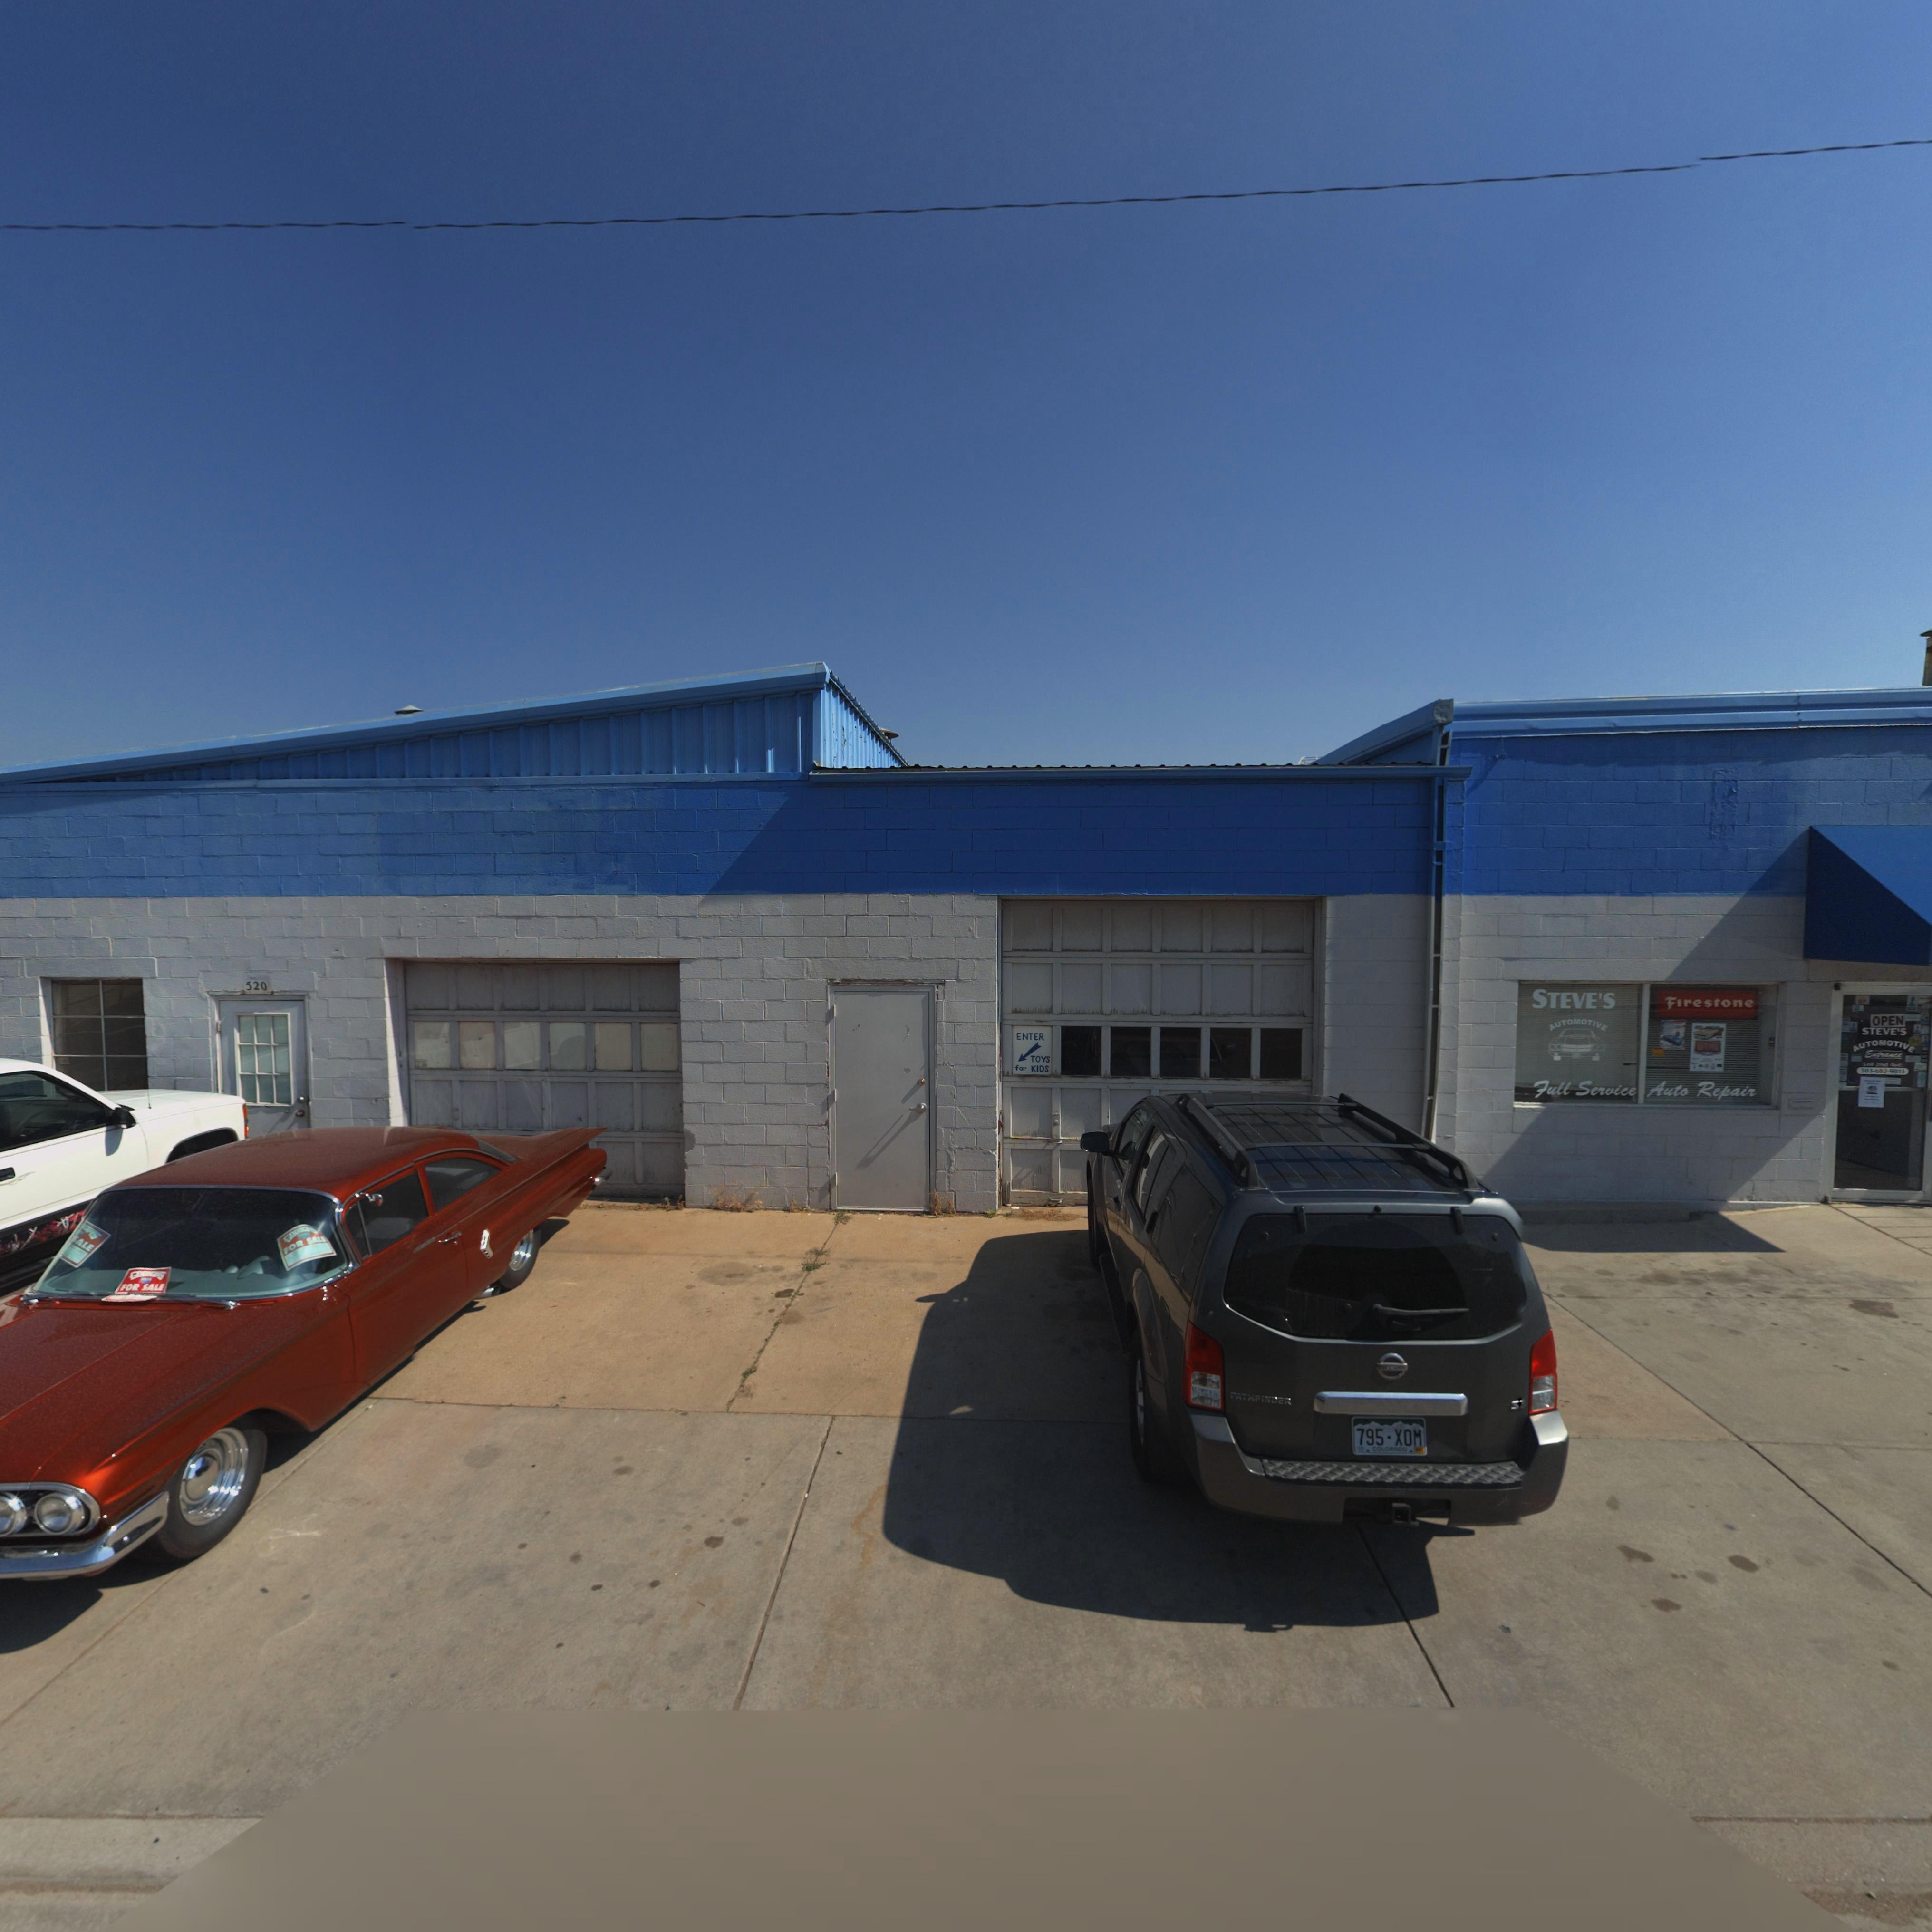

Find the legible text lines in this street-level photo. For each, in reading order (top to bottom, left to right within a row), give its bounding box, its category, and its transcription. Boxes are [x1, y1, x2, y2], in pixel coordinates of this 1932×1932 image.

[245, 981, 267, 991] StreetNumber: 520
[1530, 988, 1617, 1010] BusinessName: STEVE'S
[1548, 1017, 1609, 1033] BusinessName: AUTOMOTIVE
[1862, 1026, 1907, 1035] BusinessName: STEVE'S
[1853, 1039, 1916, 1054] BusinessName: AUTOMOTIVE